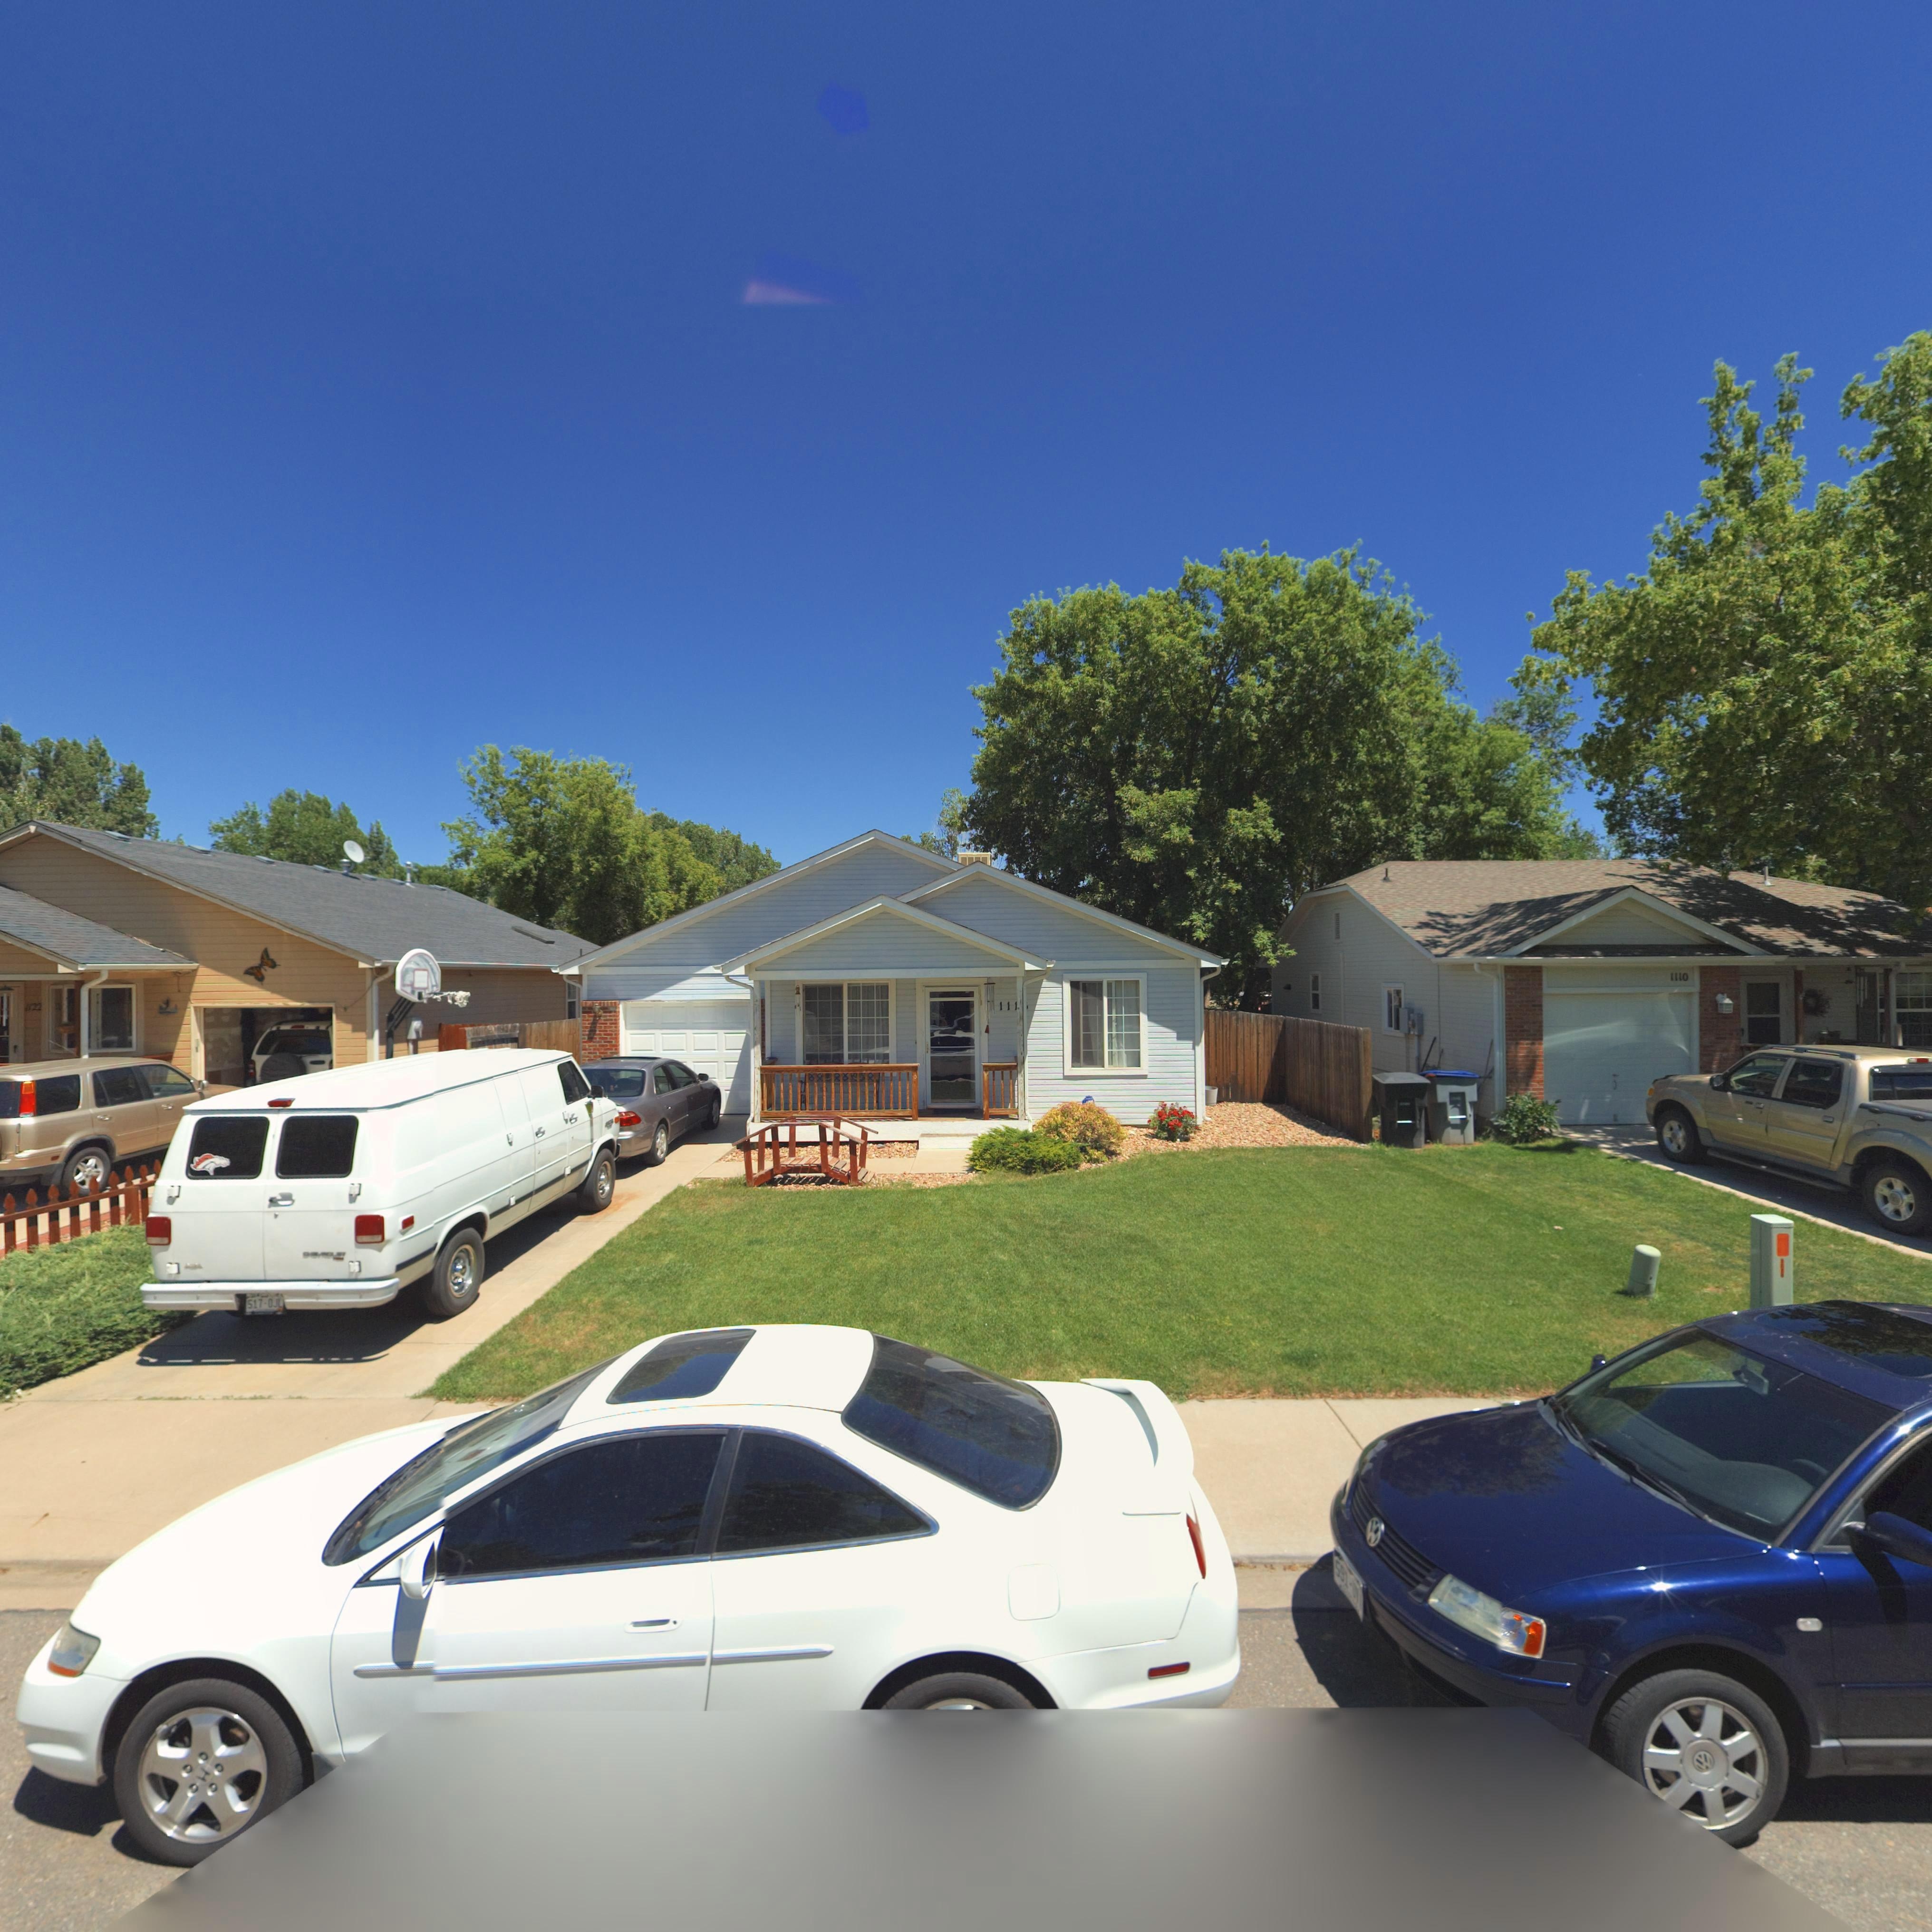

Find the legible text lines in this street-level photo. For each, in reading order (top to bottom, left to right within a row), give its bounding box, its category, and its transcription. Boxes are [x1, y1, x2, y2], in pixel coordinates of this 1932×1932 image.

[1670, 971, 1689, 982] StreetNumber: 1110
[24, 1003, 42, 1011] StreetNumber: 1122
[999, 1001, 1017, 1011] StreetNumber: 111